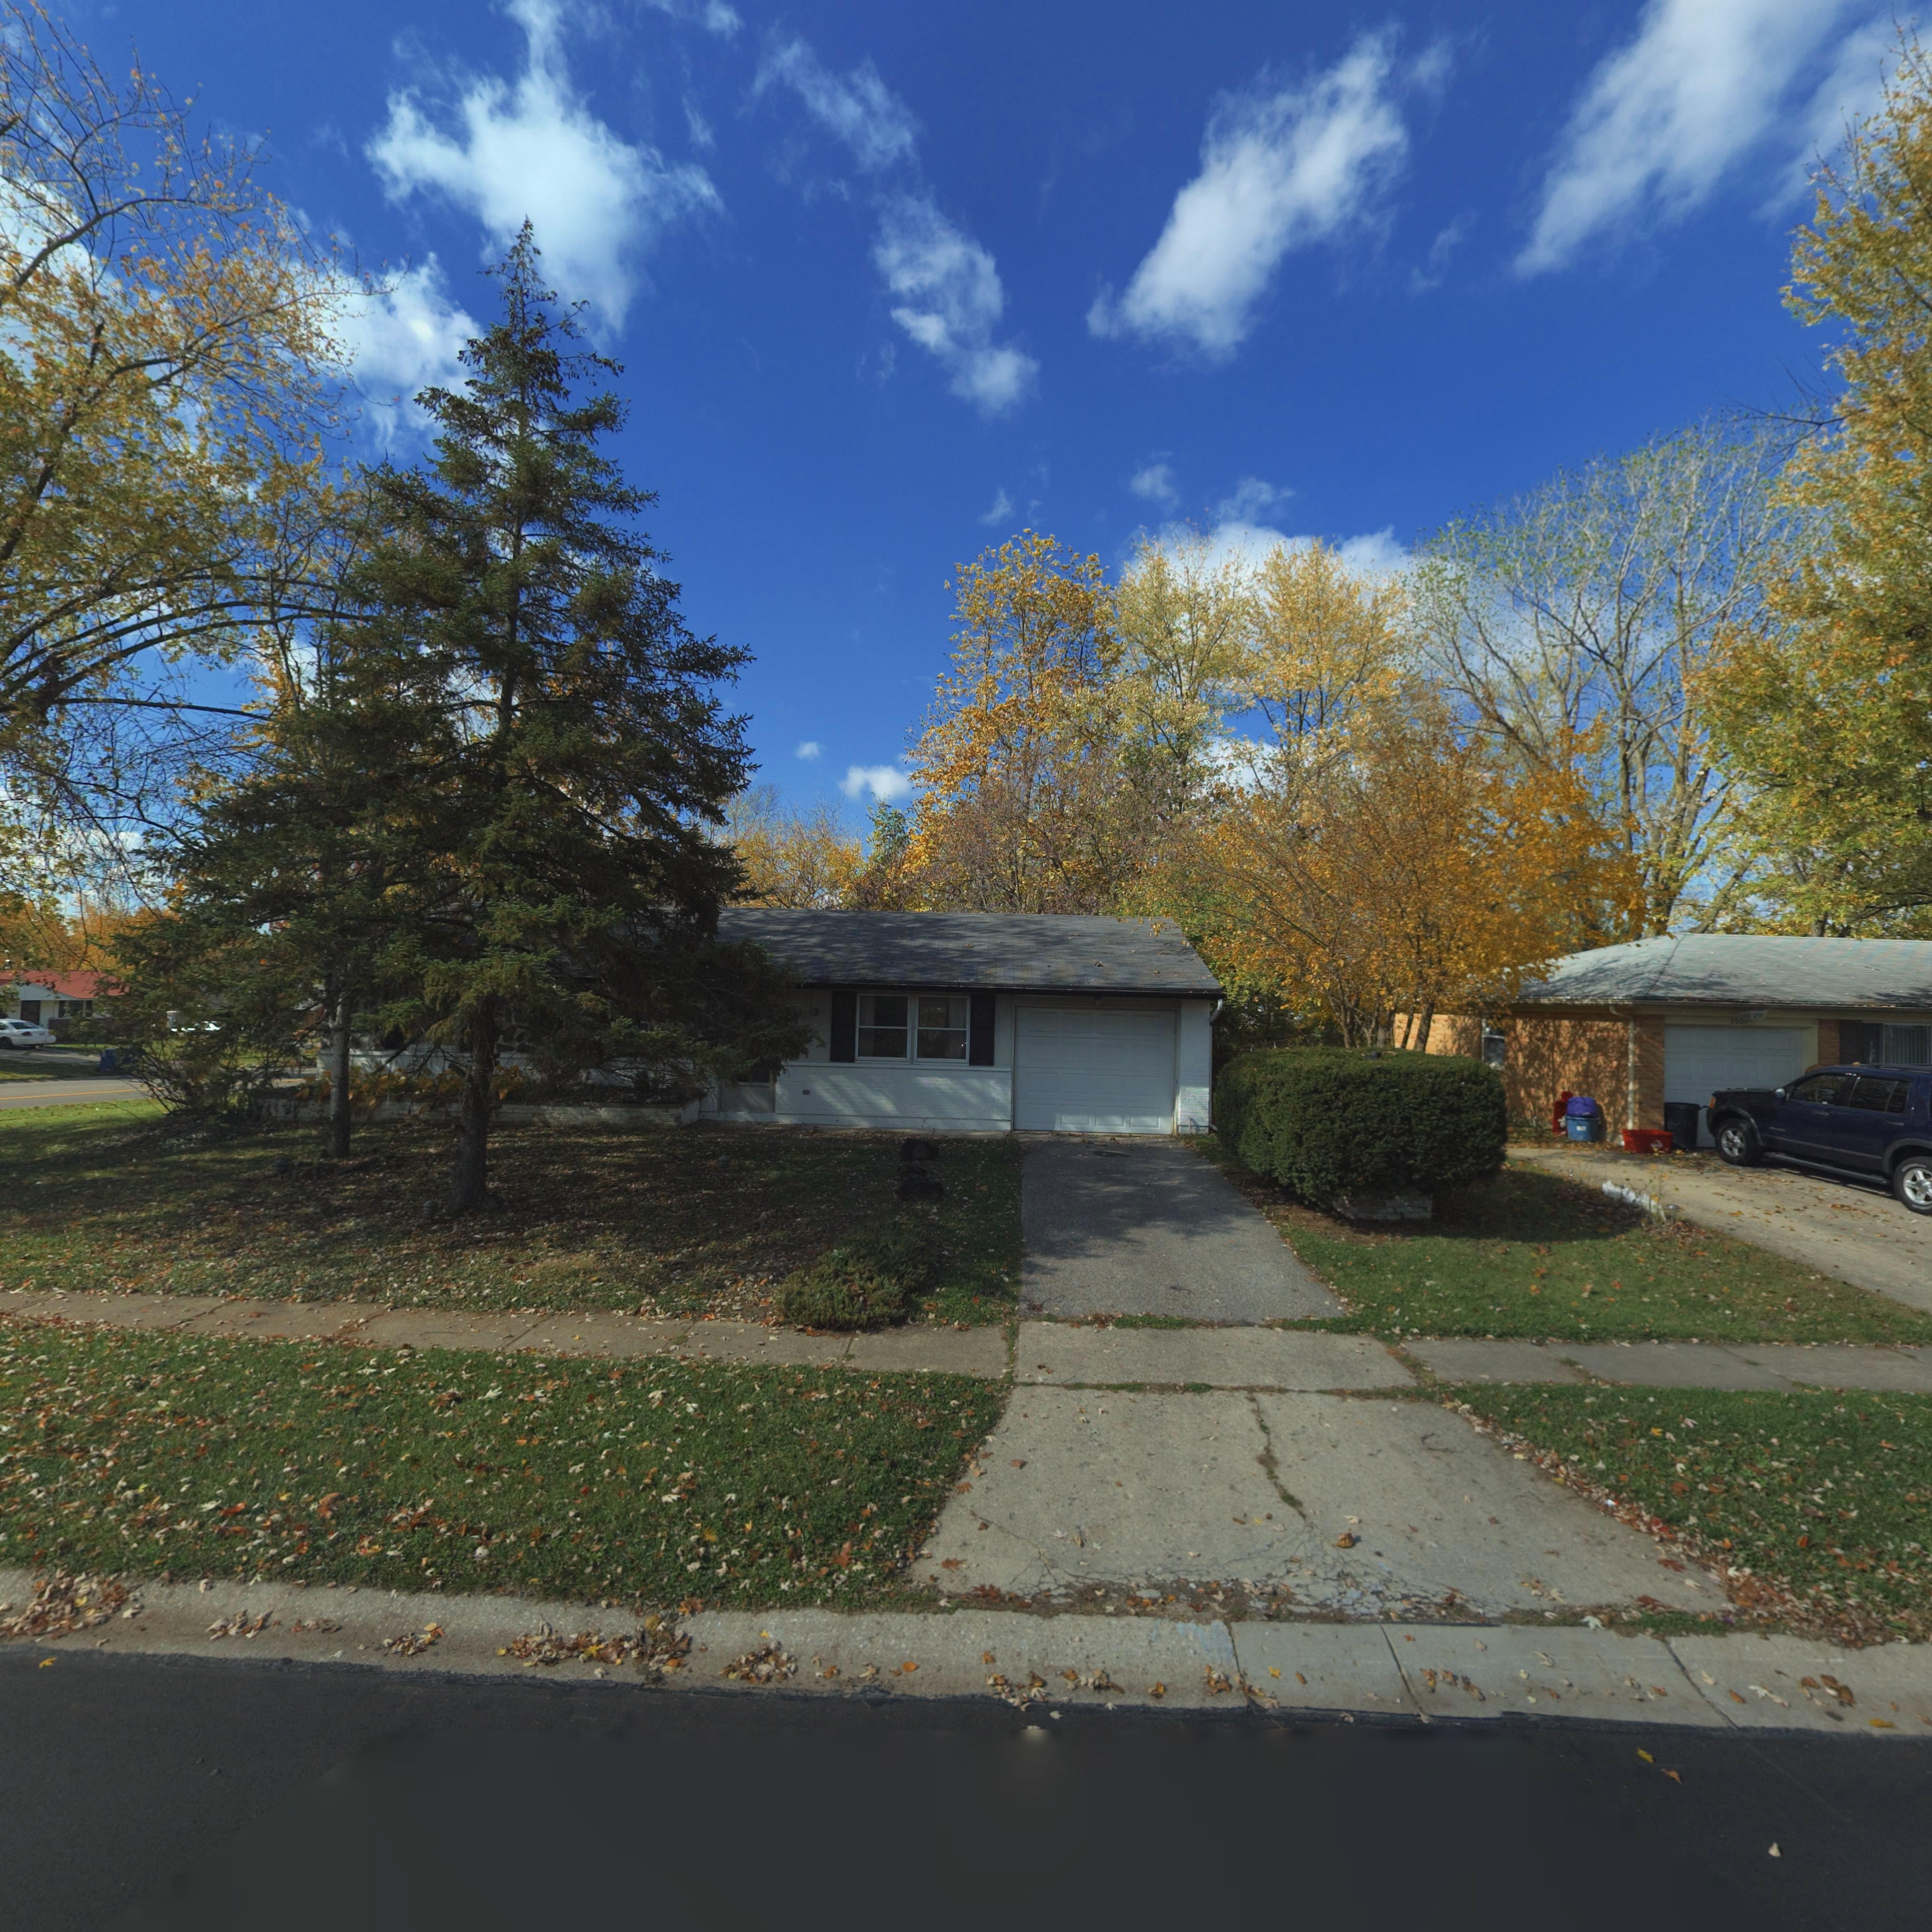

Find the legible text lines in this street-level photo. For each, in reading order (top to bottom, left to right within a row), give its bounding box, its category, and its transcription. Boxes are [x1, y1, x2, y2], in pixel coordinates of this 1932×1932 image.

[1729, 1017, 1745, 1025] StreetNumber: 7*0